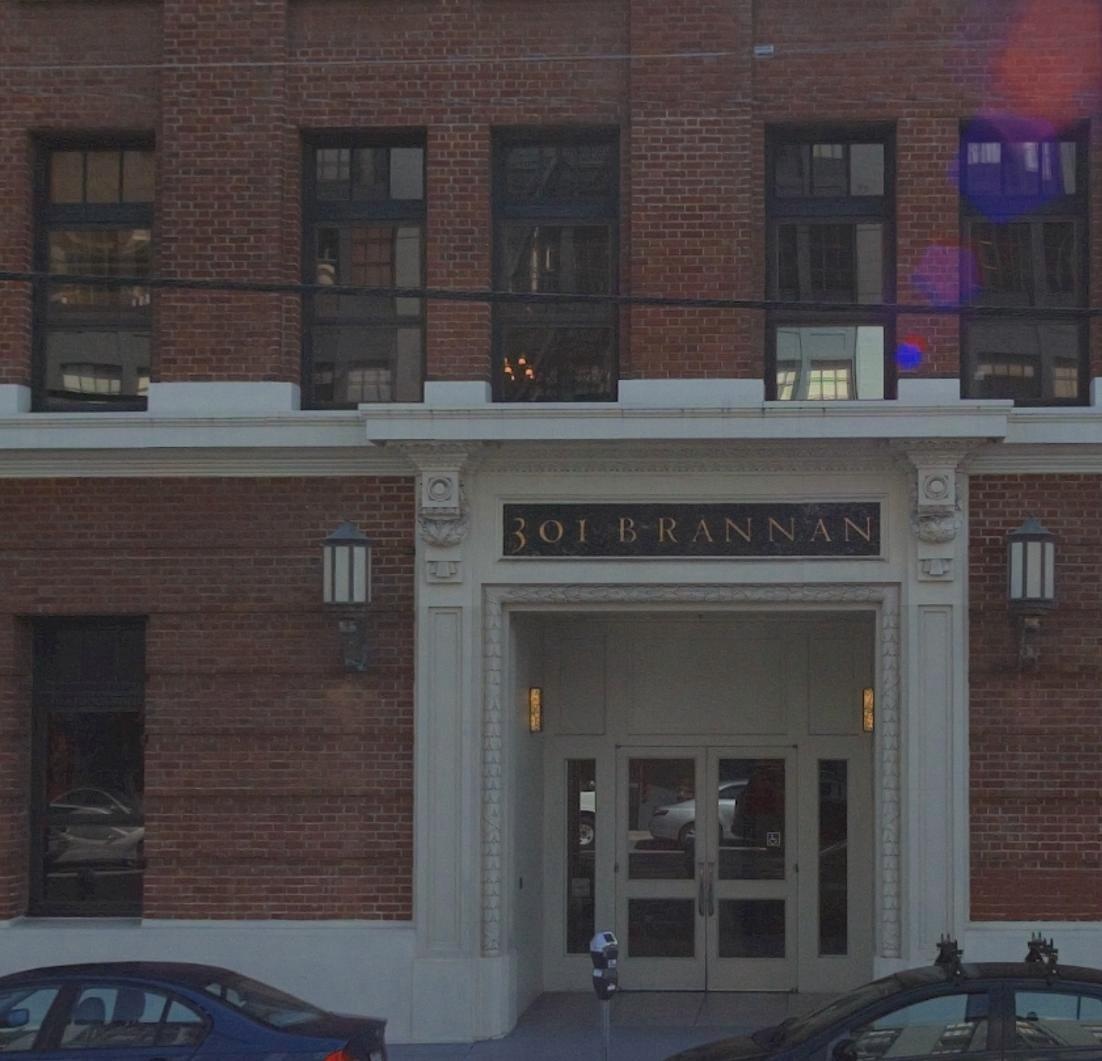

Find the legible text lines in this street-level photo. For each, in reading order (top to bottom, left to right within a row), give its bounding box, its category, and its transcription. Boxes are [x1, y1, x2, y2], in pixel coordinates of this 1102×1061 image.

[504, 512, 592, 558] StreetNumber: 301
[613, 511, 878, 549] StreetName: BRANNAN